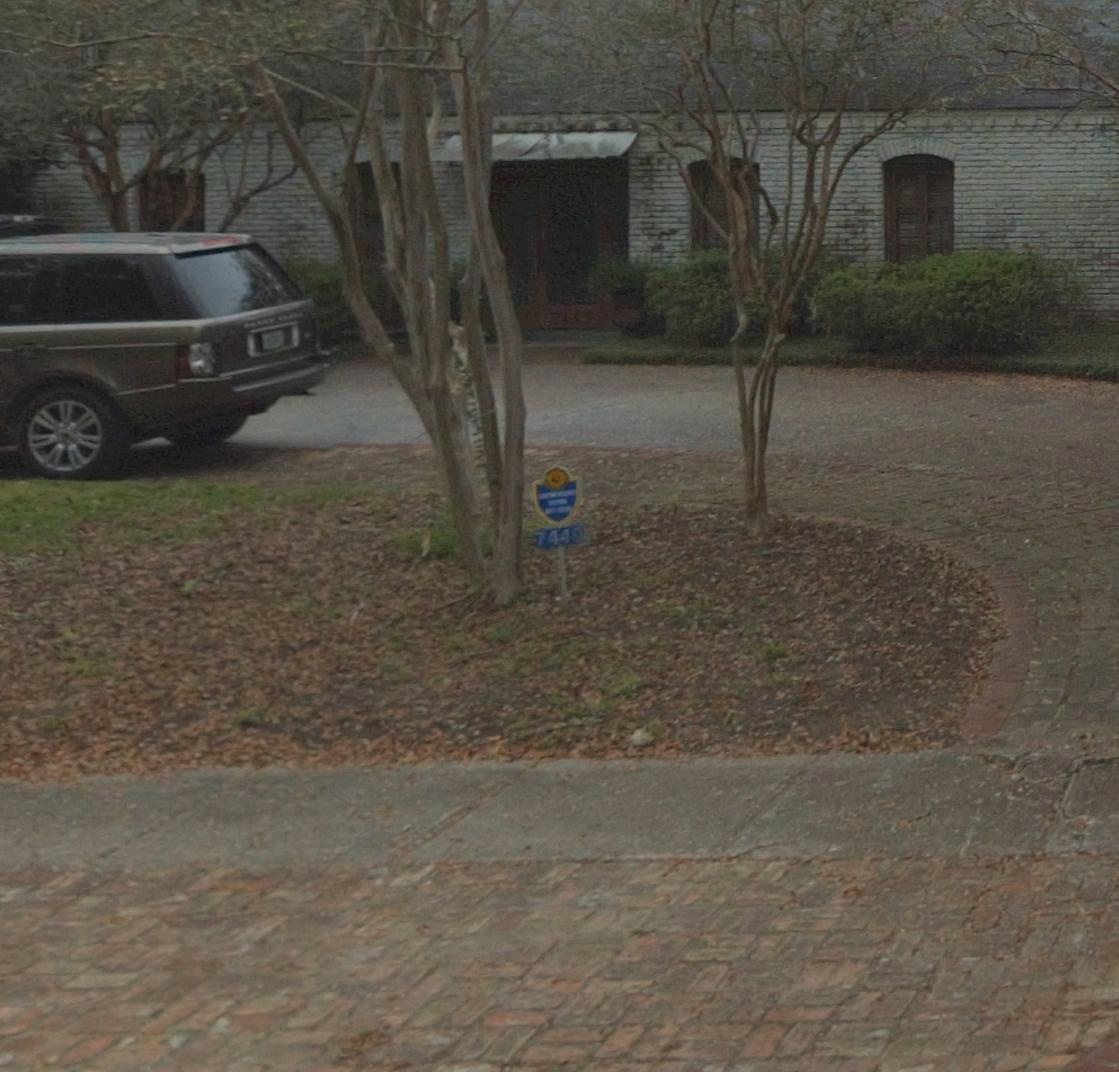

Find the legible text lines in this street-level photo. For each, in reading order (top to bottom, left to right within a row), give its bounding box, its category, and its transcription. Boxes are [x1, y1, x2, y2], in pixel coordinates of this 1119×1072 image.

[537, 529, 585, 546] StreetNumber: 7449